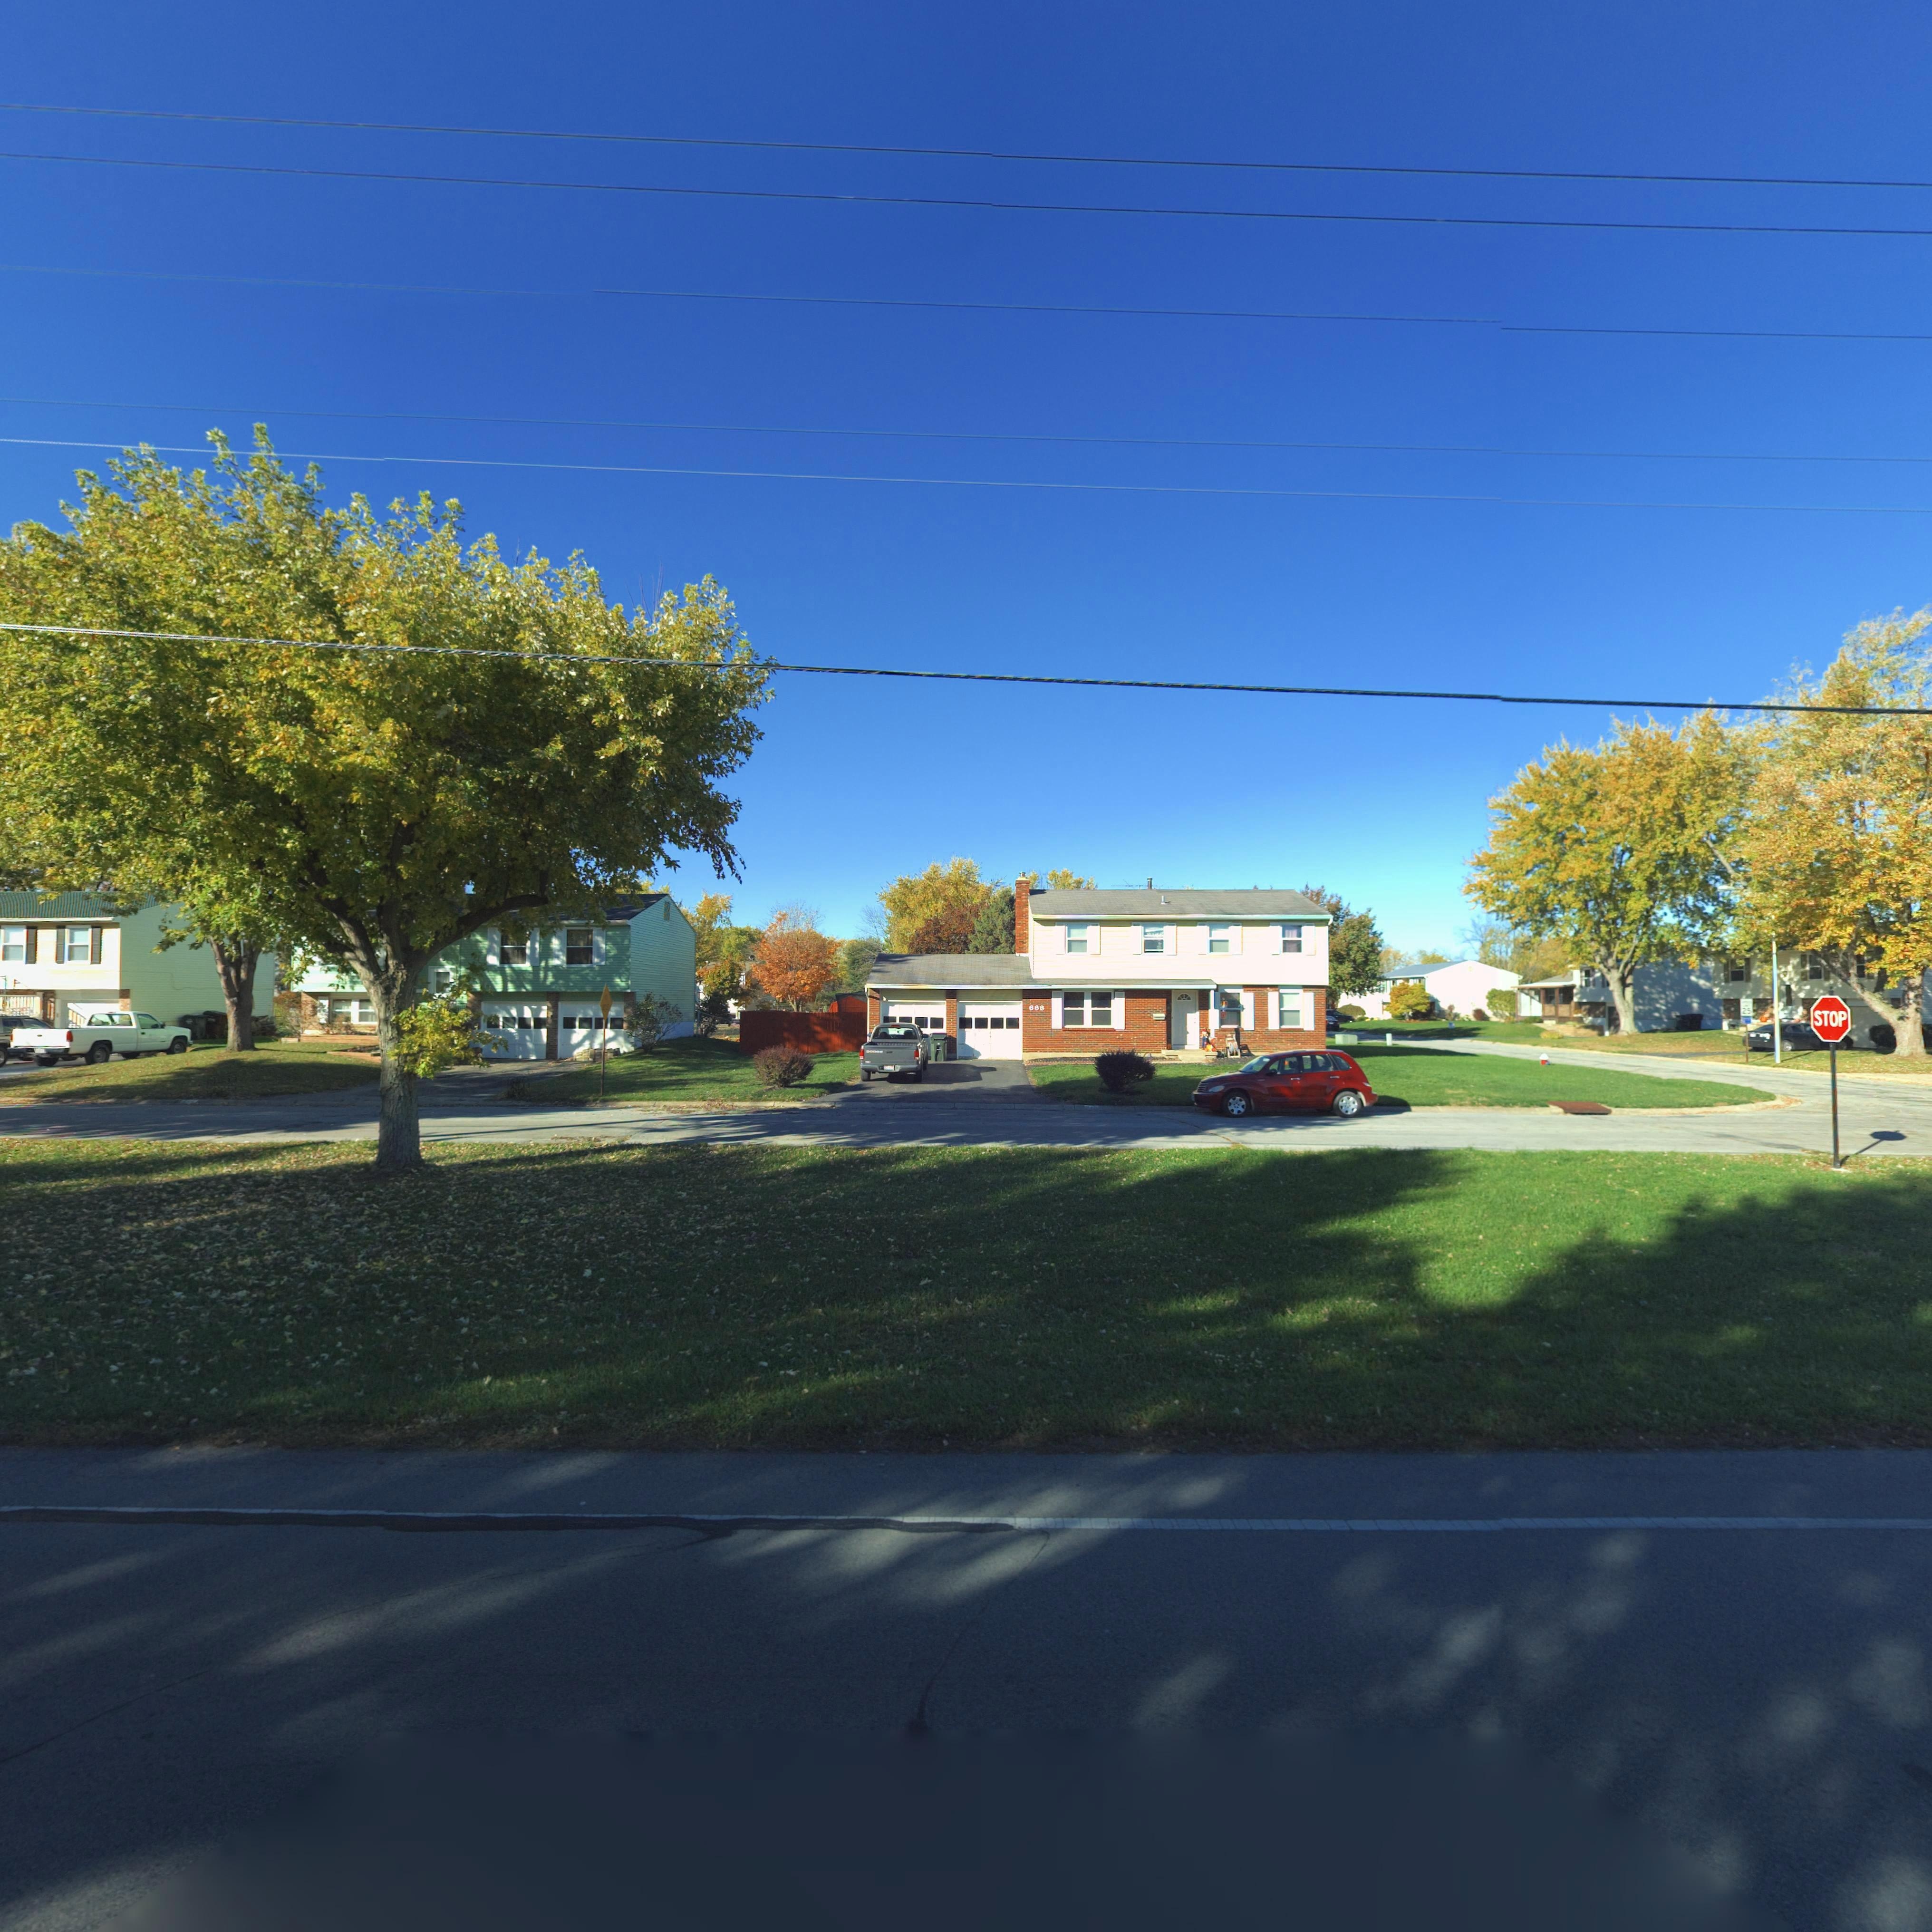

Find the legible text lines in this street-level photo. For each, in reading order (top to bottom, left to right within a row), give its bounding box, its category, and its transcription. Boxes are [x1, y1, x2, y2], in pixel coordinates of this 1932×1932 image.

[624, 1002, 628, 1007] StreetNumber: 6
[1028, 1005, 1045, 1011] StreetNumber: 668
[1742, 1007, 1750, 1015] None: 25
[1814, 1009, 1847, 1029] None: STOP